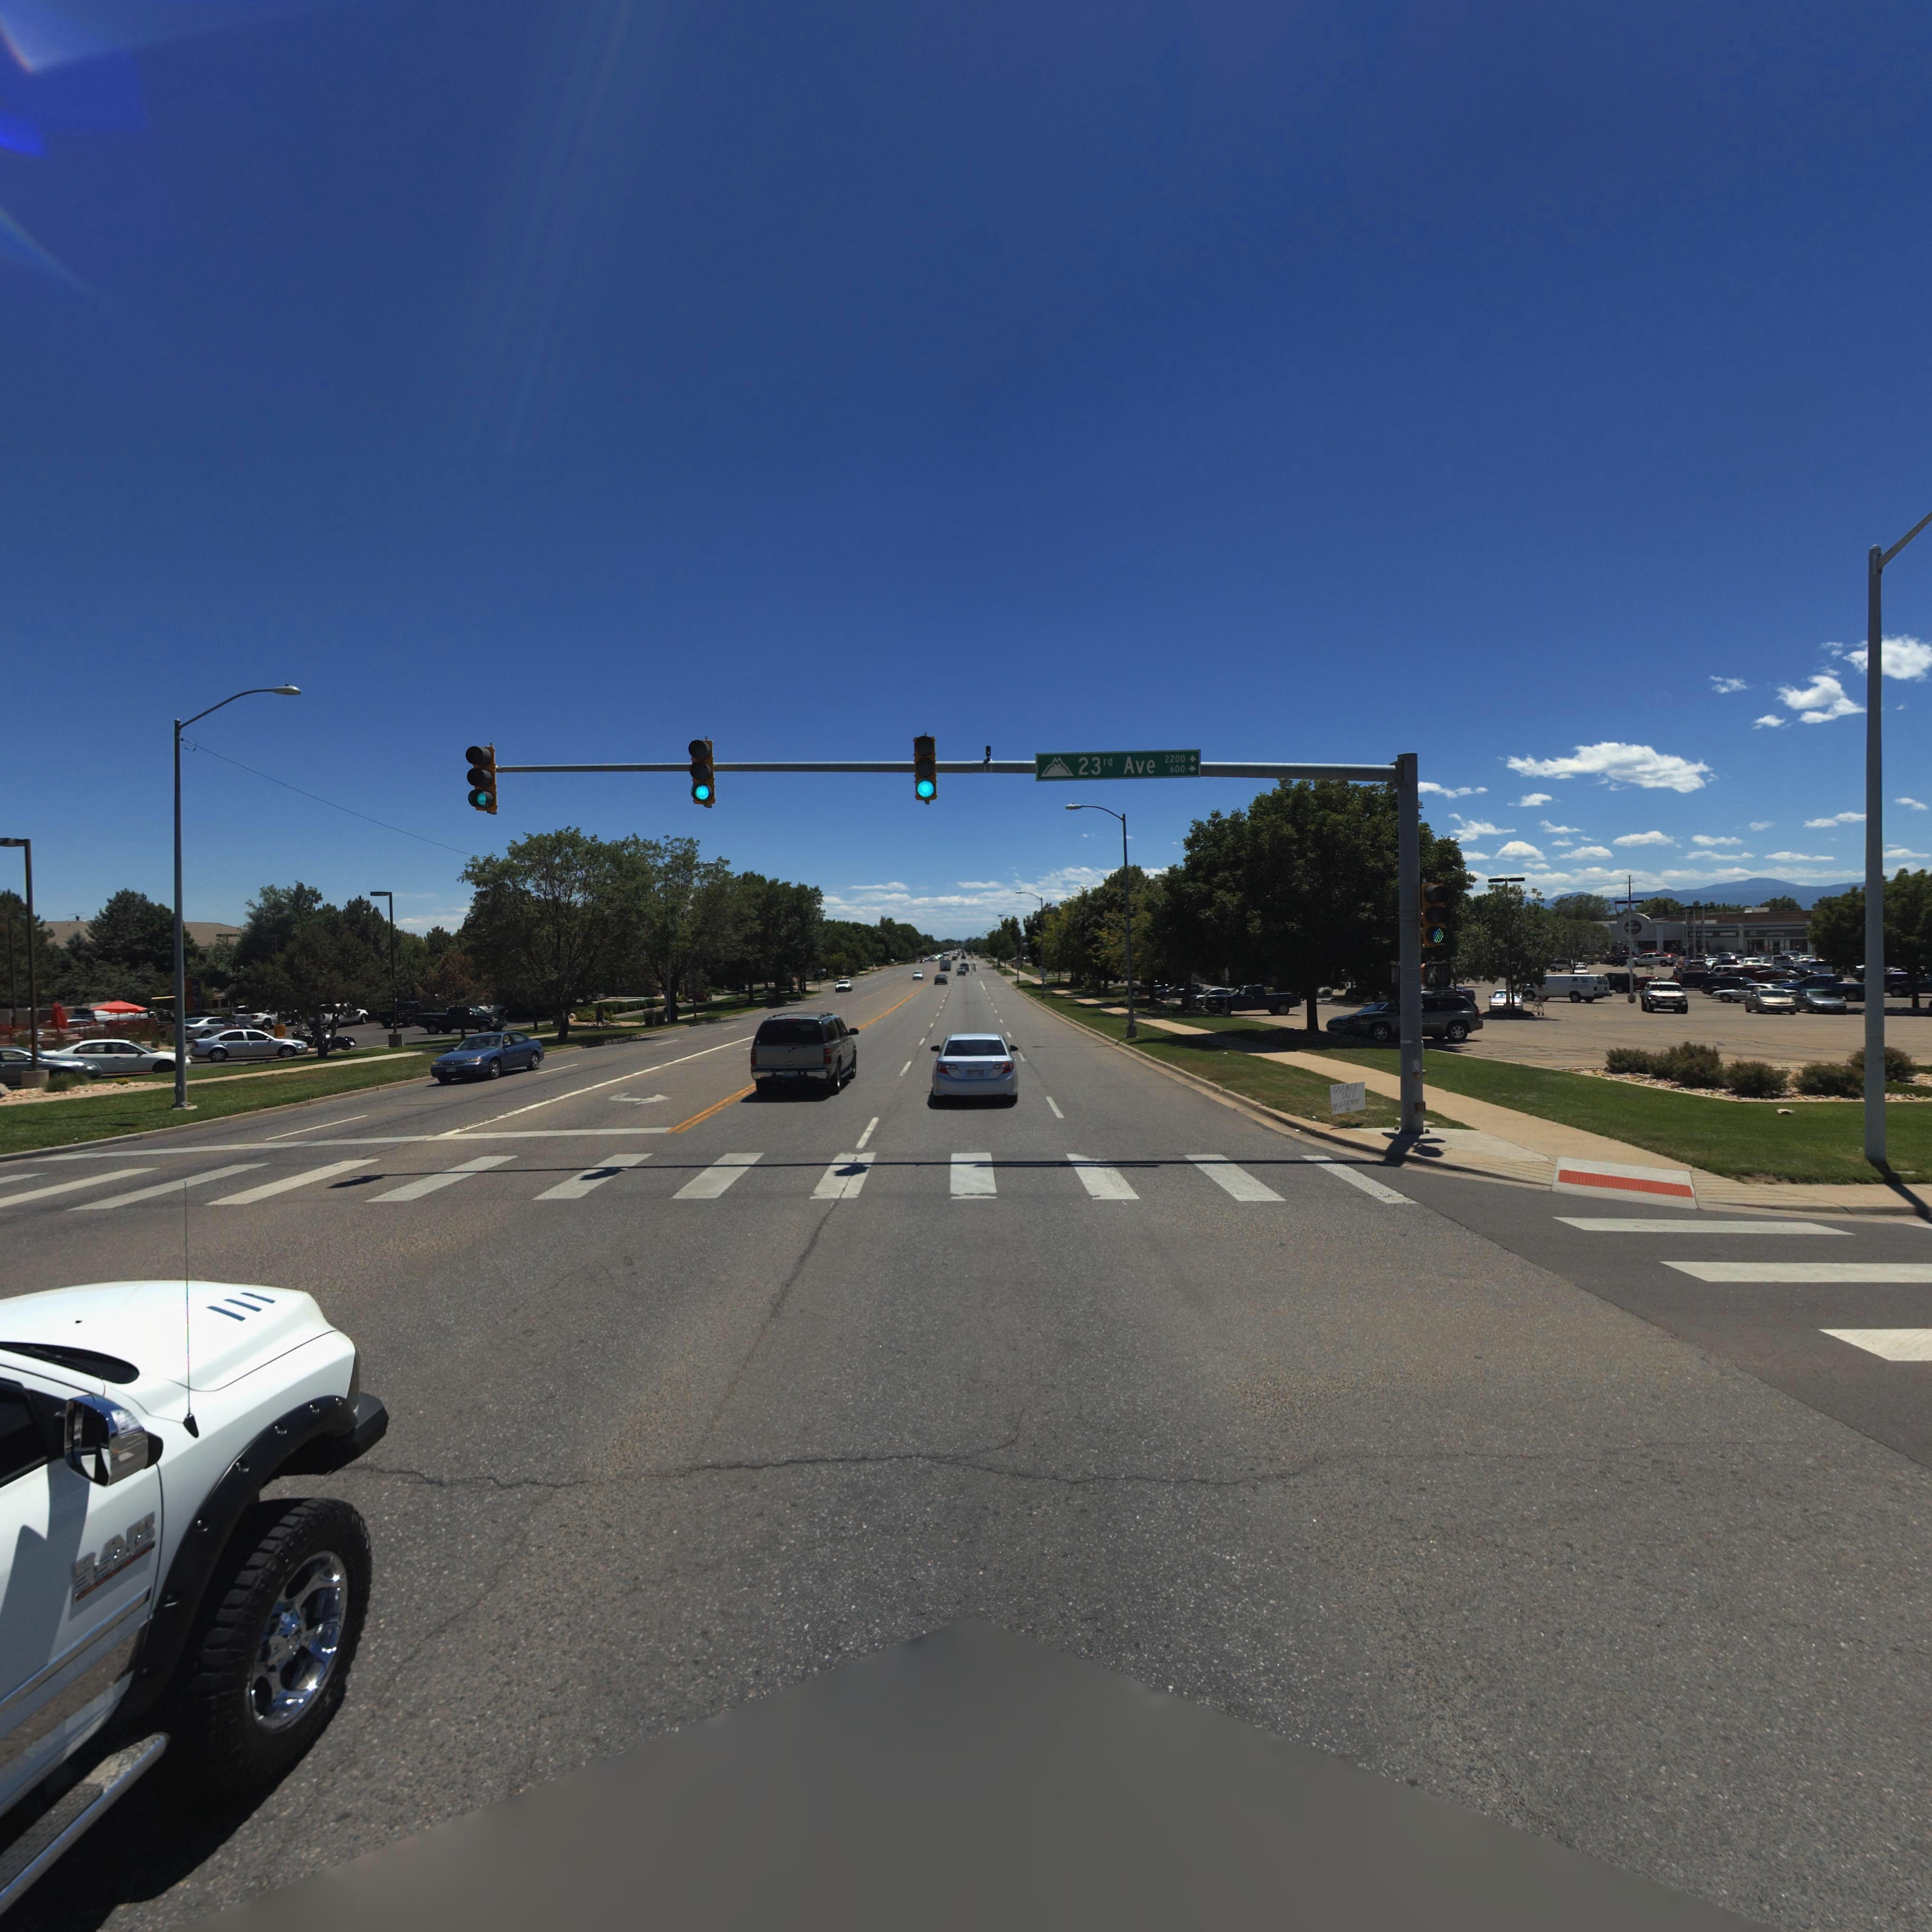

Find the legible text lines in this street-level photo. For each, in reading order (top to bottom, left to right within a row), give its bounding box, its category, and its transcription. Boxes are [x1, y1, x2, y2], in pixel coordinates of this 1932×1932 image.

[1164, 755, 1185, 763] StreetNumberRange: 2200
[1078, 756, 1155, 775] StreetName: 23rd Ave
[1169, 765, 1196, 773] StreetNumberRange: 600->